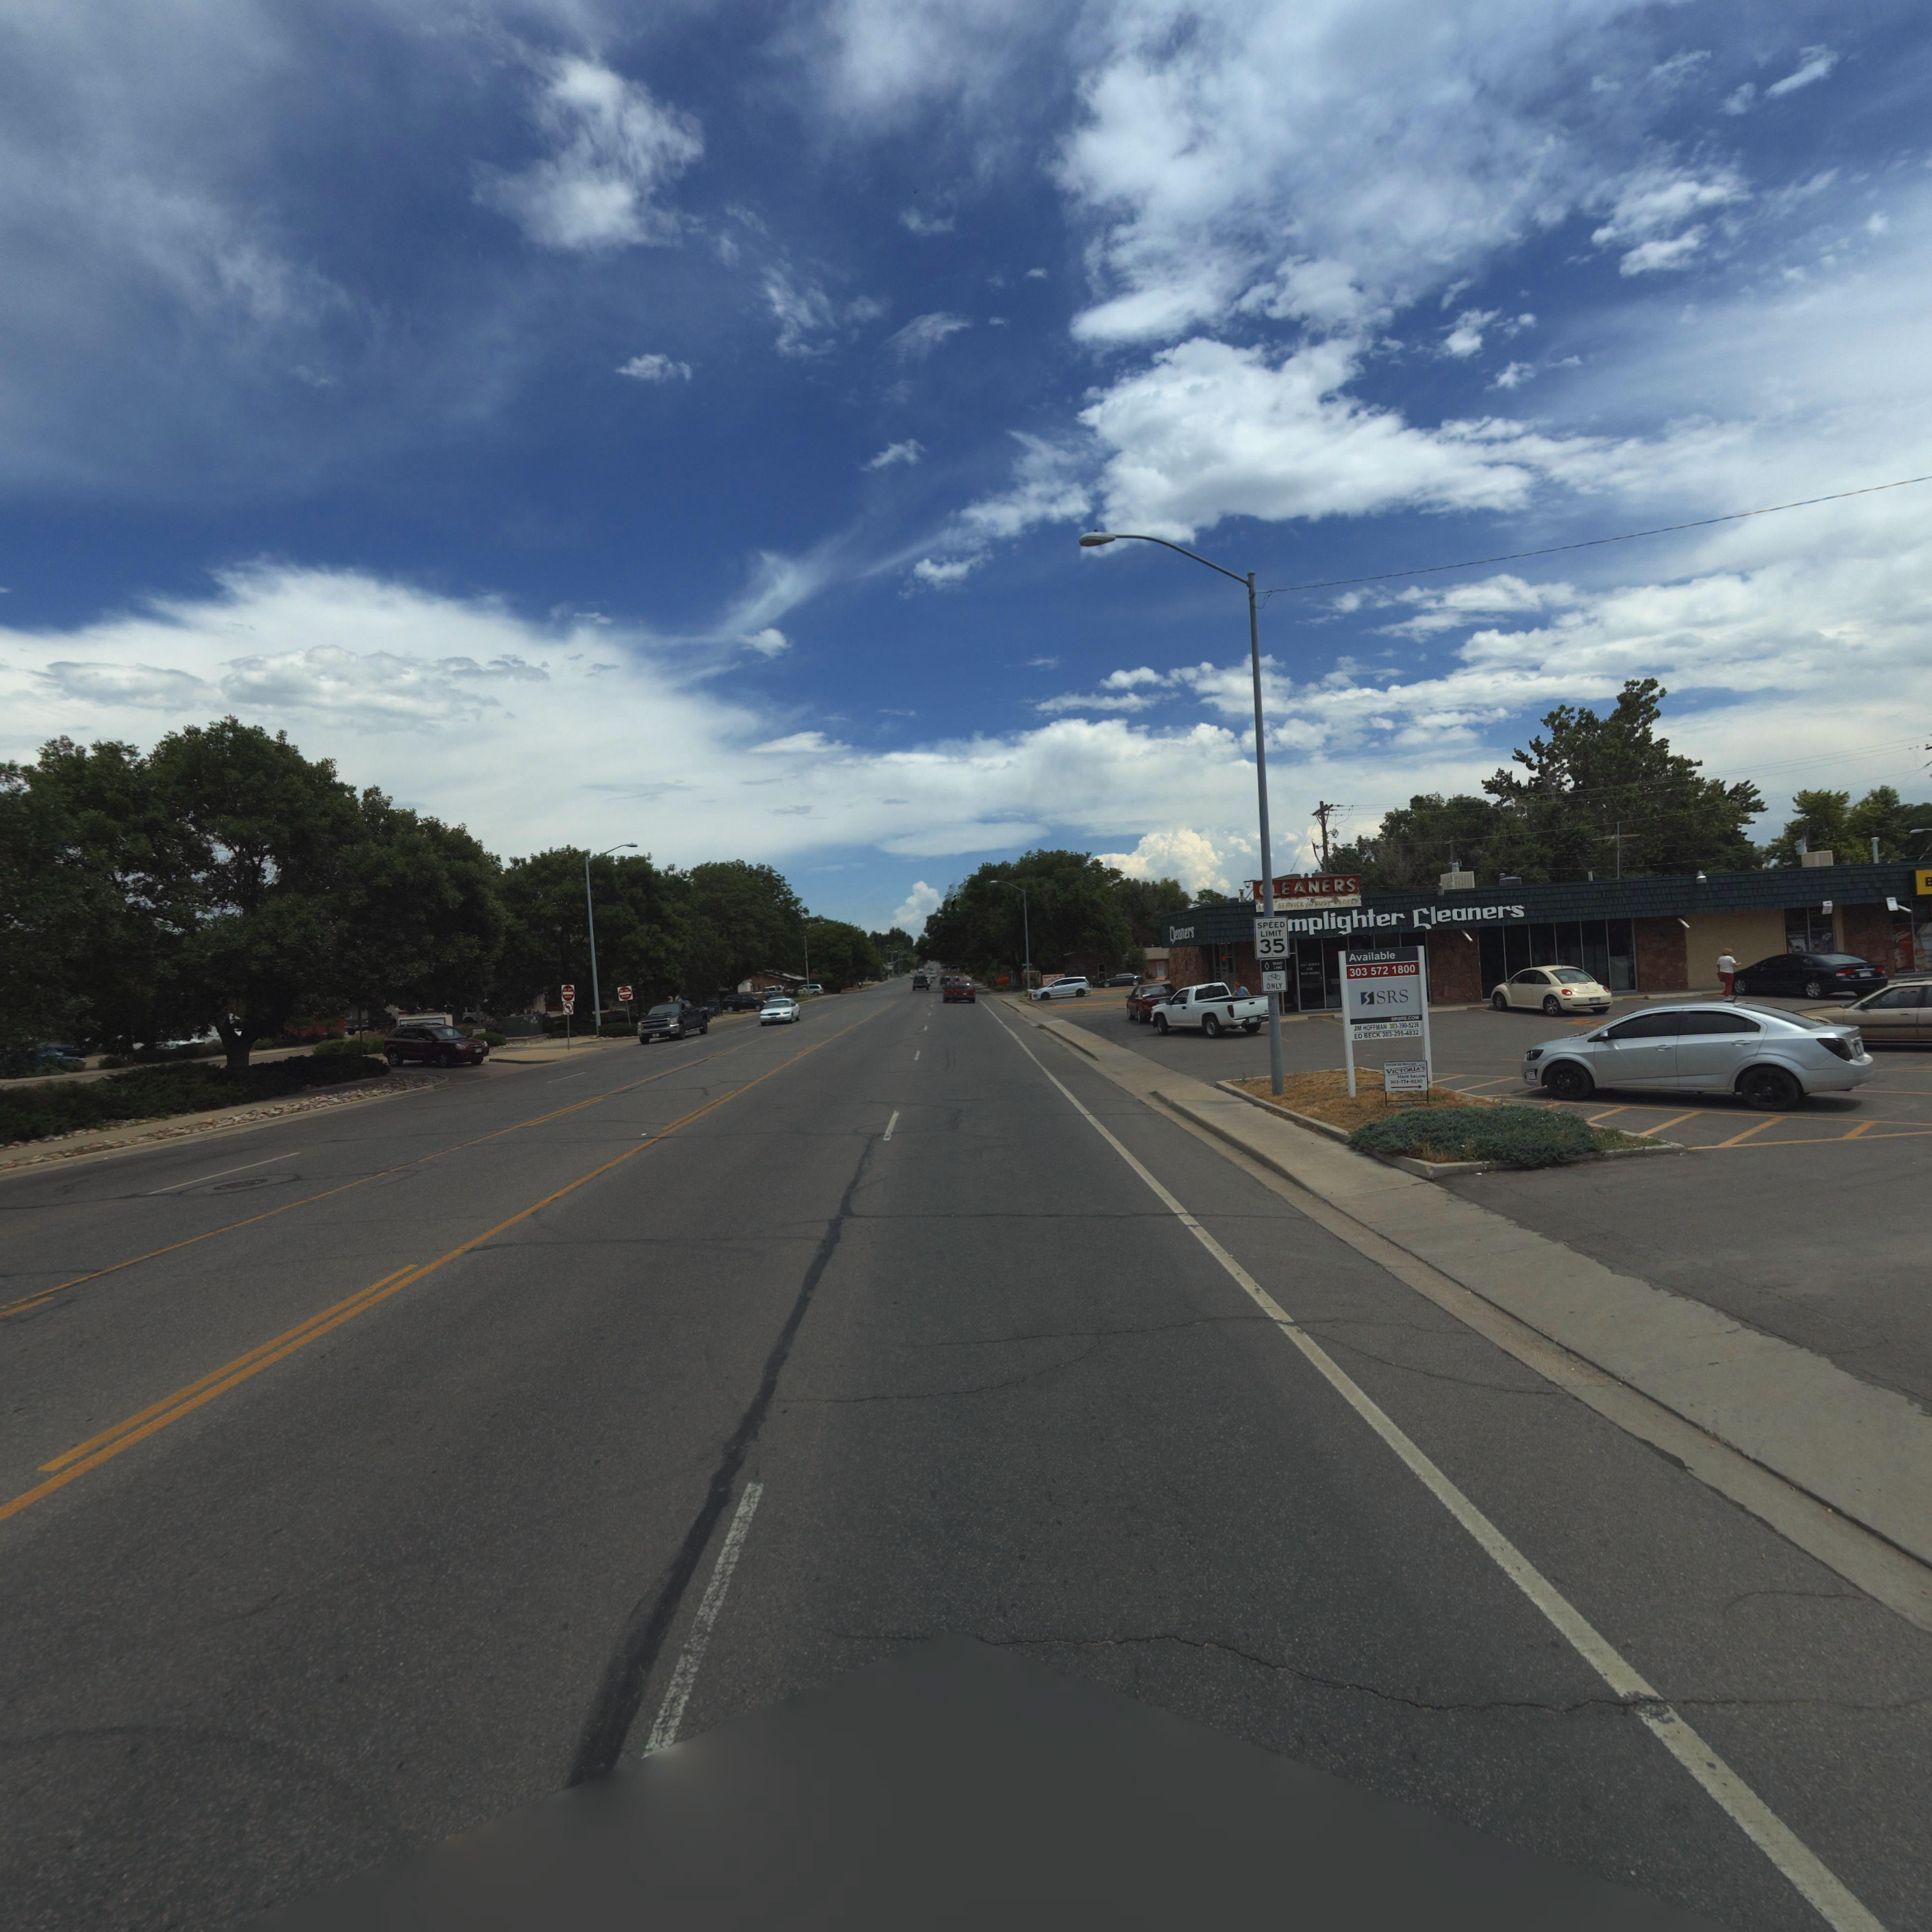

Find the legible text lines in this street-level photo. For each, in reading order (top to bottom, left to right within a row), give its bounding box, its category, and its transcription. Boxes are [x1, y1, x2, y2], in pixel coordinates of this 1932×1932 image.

[1258, 878, 1356, 897] BusinessName: **EANERS
[1286, 904, 1526, 935] BusinessName: mplighter Cleaners
[1169, 925, 1195, 945] BusinessName: **e**e*s
[1385, 1065, 1426, 1074] BusinessName: VICTO****S
[1397, 1073, 1425, 1078] BusinessName: HA** **LO*